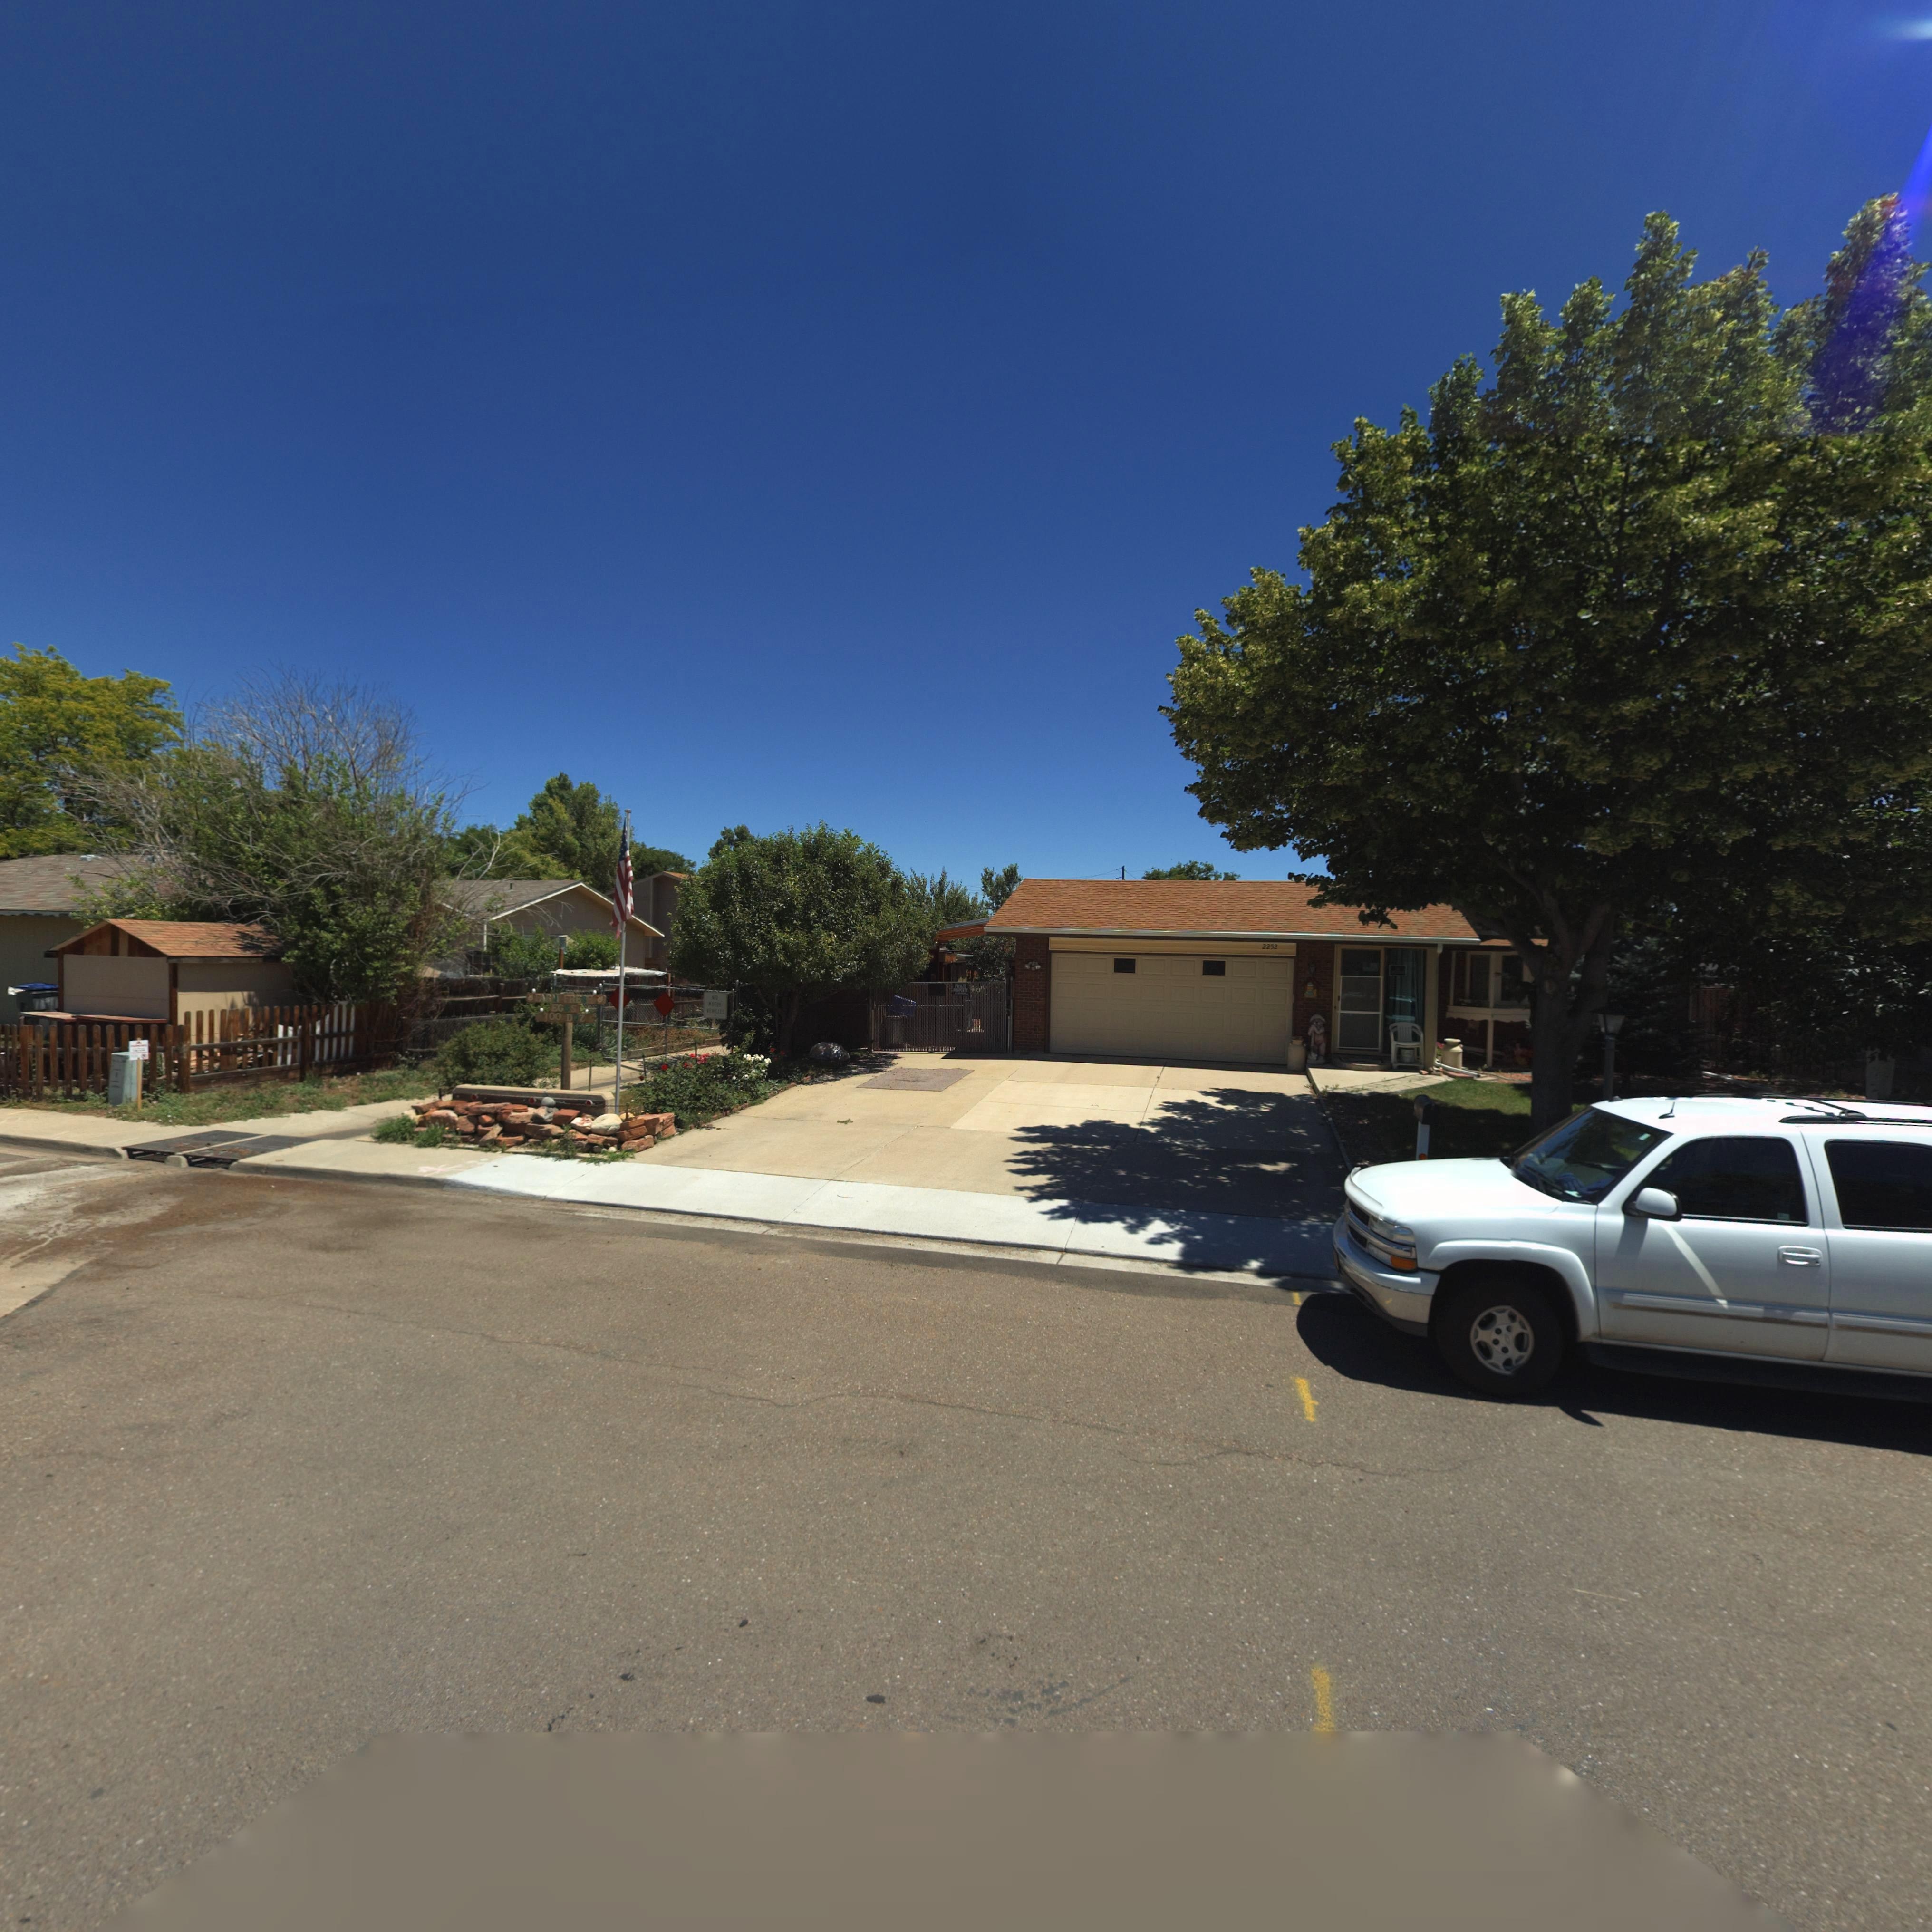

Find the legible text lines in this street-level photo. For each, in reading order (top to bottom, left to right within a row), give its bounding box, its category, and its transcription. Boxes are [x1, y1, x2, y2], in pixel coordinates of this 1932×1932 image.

[1261, 943, 1278, 949] StreetNumber: 2252